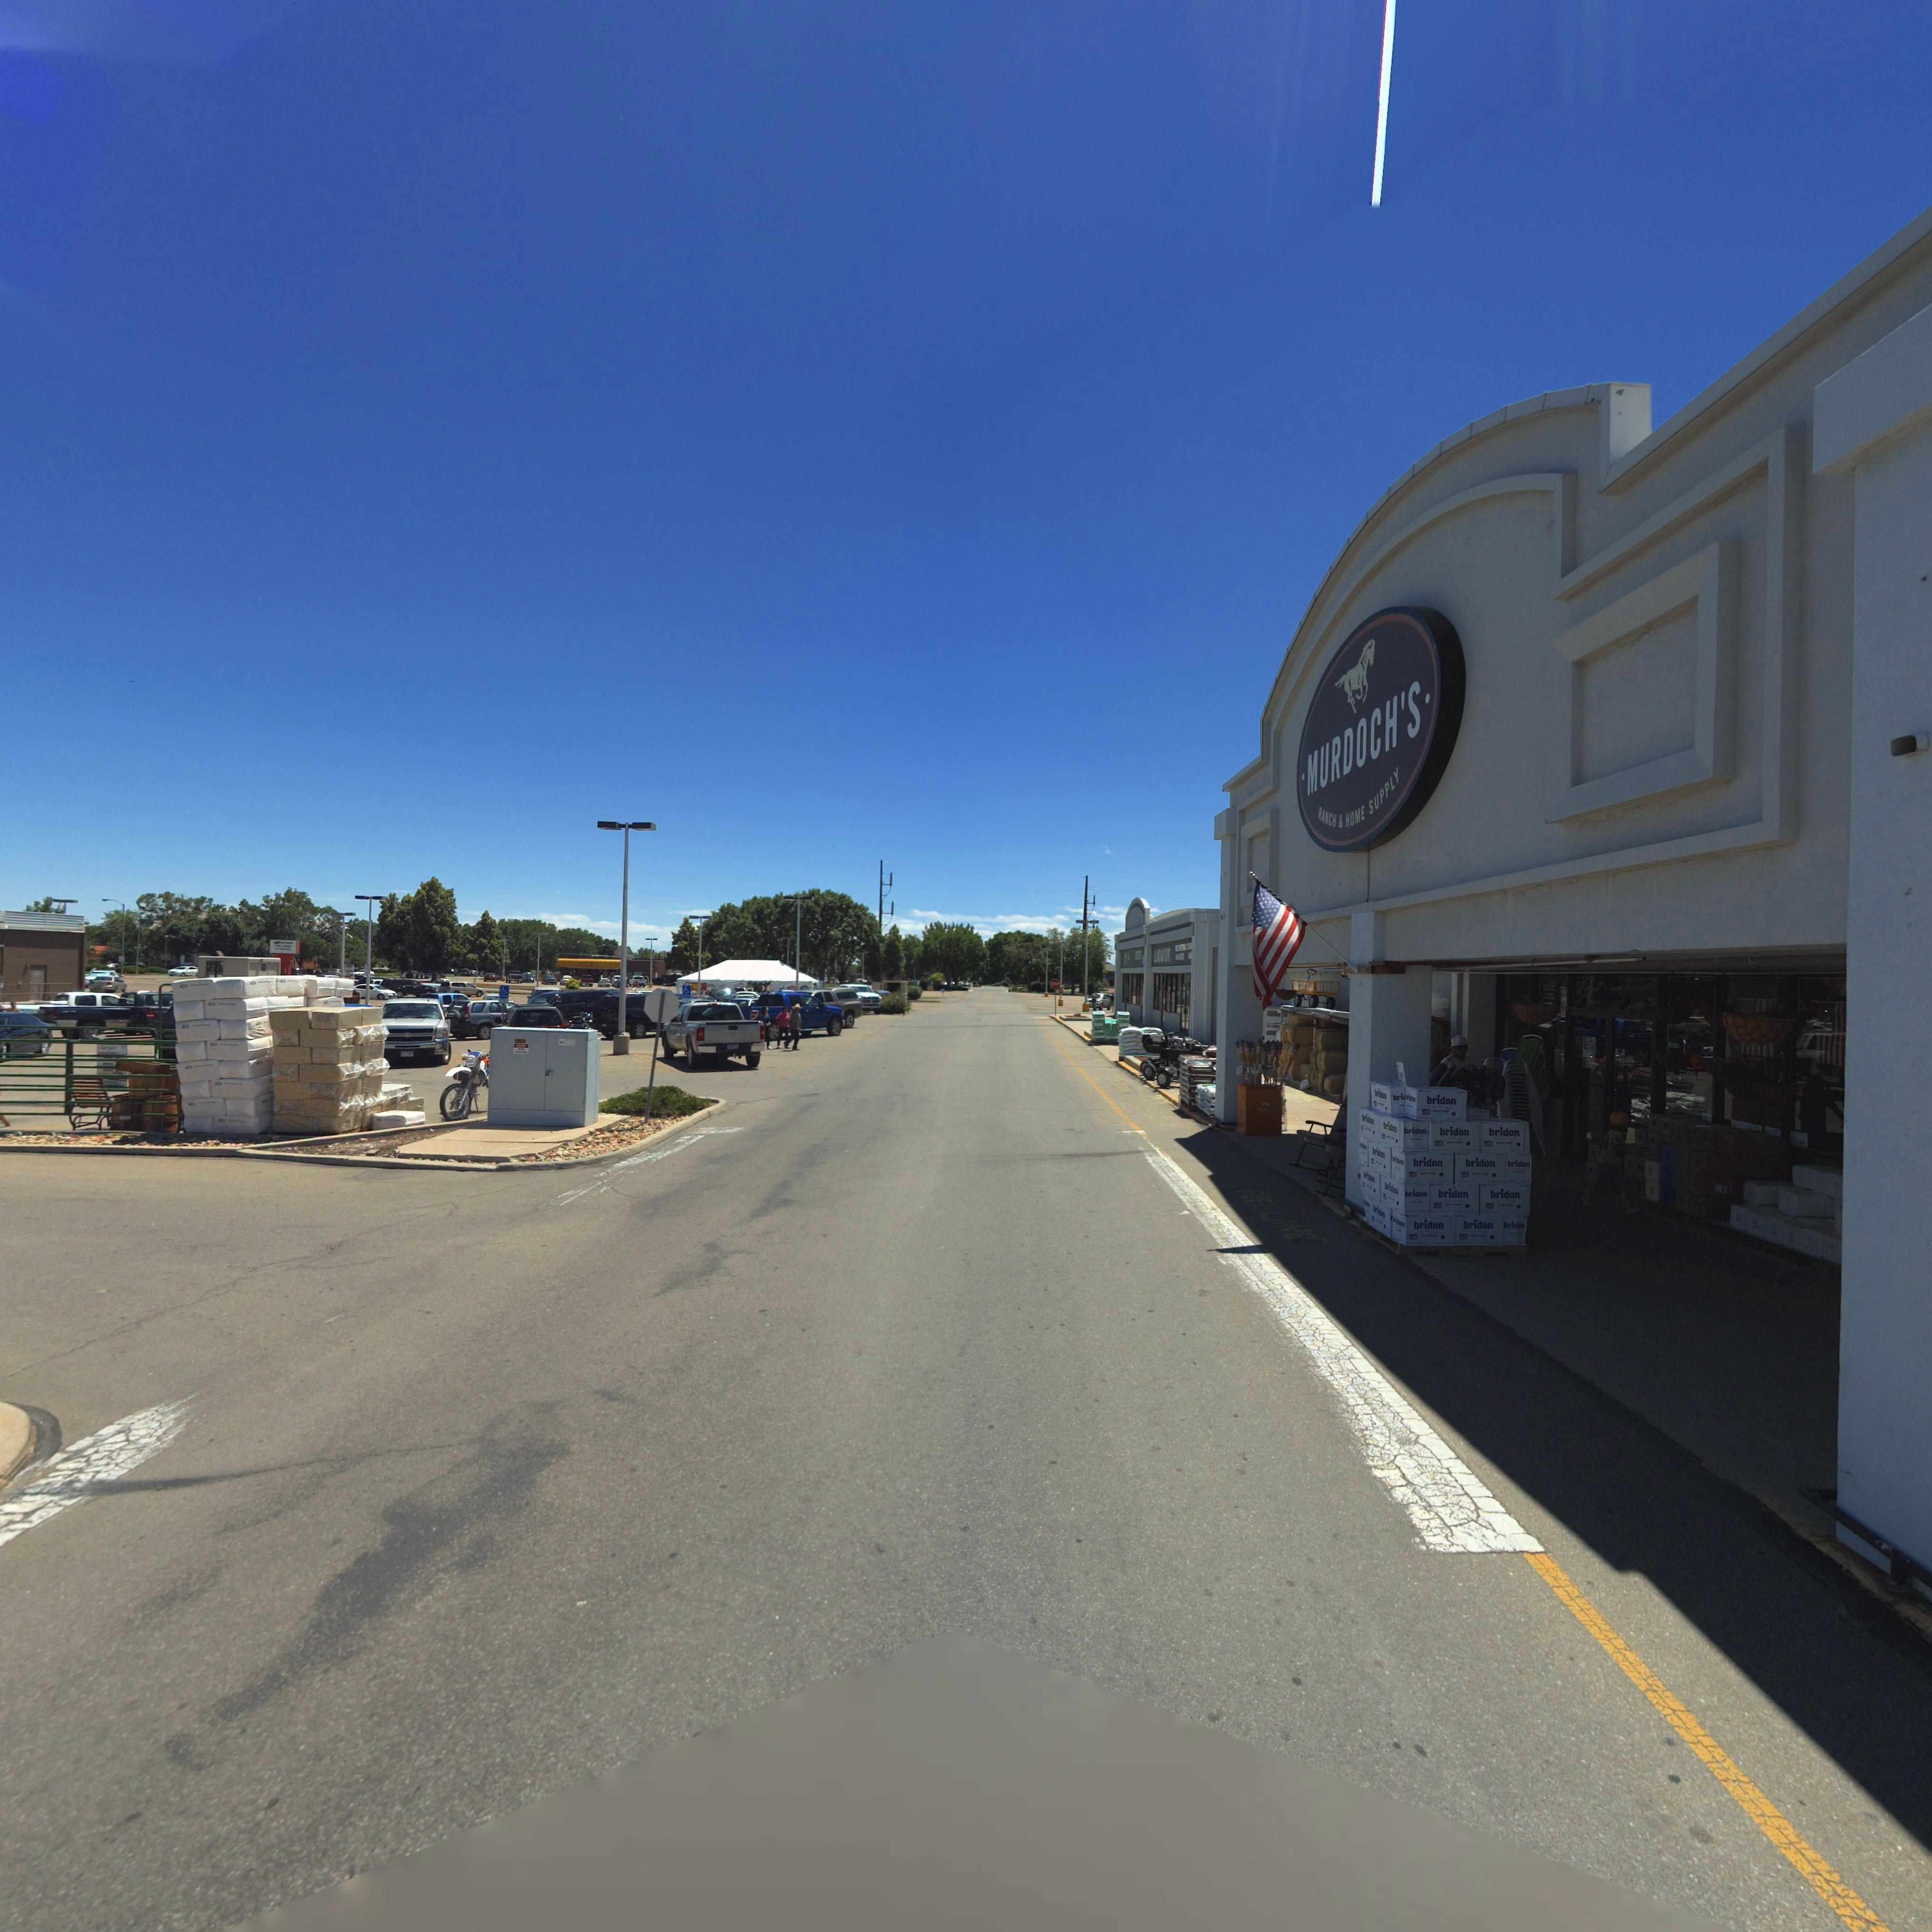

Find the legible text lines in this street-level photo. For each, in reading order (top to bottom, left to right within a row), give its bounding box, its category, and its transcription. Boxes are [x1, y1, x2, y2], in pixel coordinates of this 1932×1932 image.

[1307, 680, 1421, 796] BusinessName: MURDOCH'S
[1317, 766, 1399, 829] BusinessName: RANCH & HOME SUPPLY